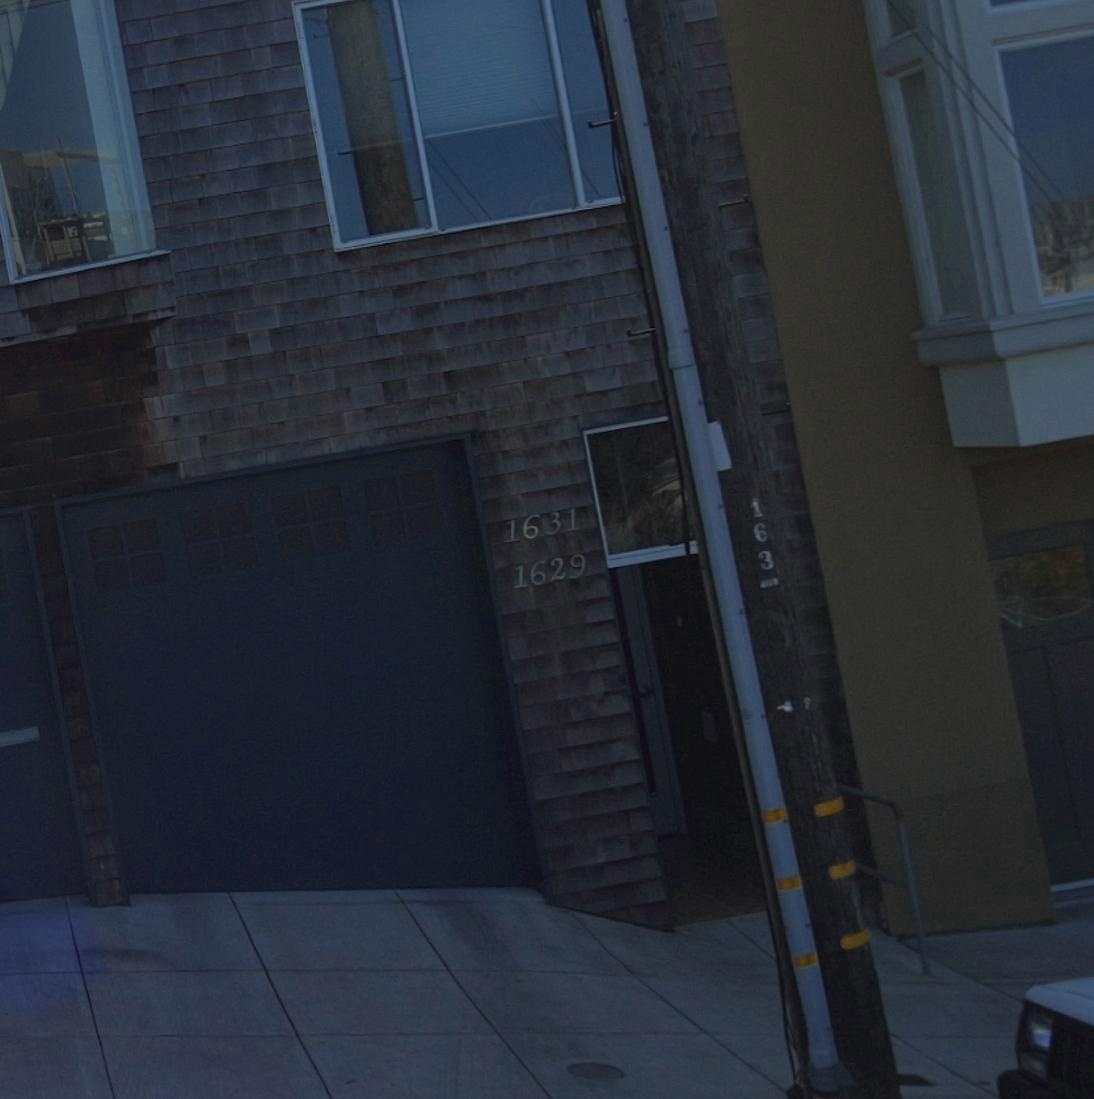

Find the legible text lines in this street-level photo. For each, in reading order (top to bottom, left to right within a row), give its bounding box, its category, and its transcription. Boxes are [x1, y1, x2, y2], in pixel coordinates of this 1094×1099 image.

[503, 506, 579, 545] StreetNumber: 1631
[749, 495, 777, 572] None: 163
[512, 552, 587, 591] StreetNumber: 1629